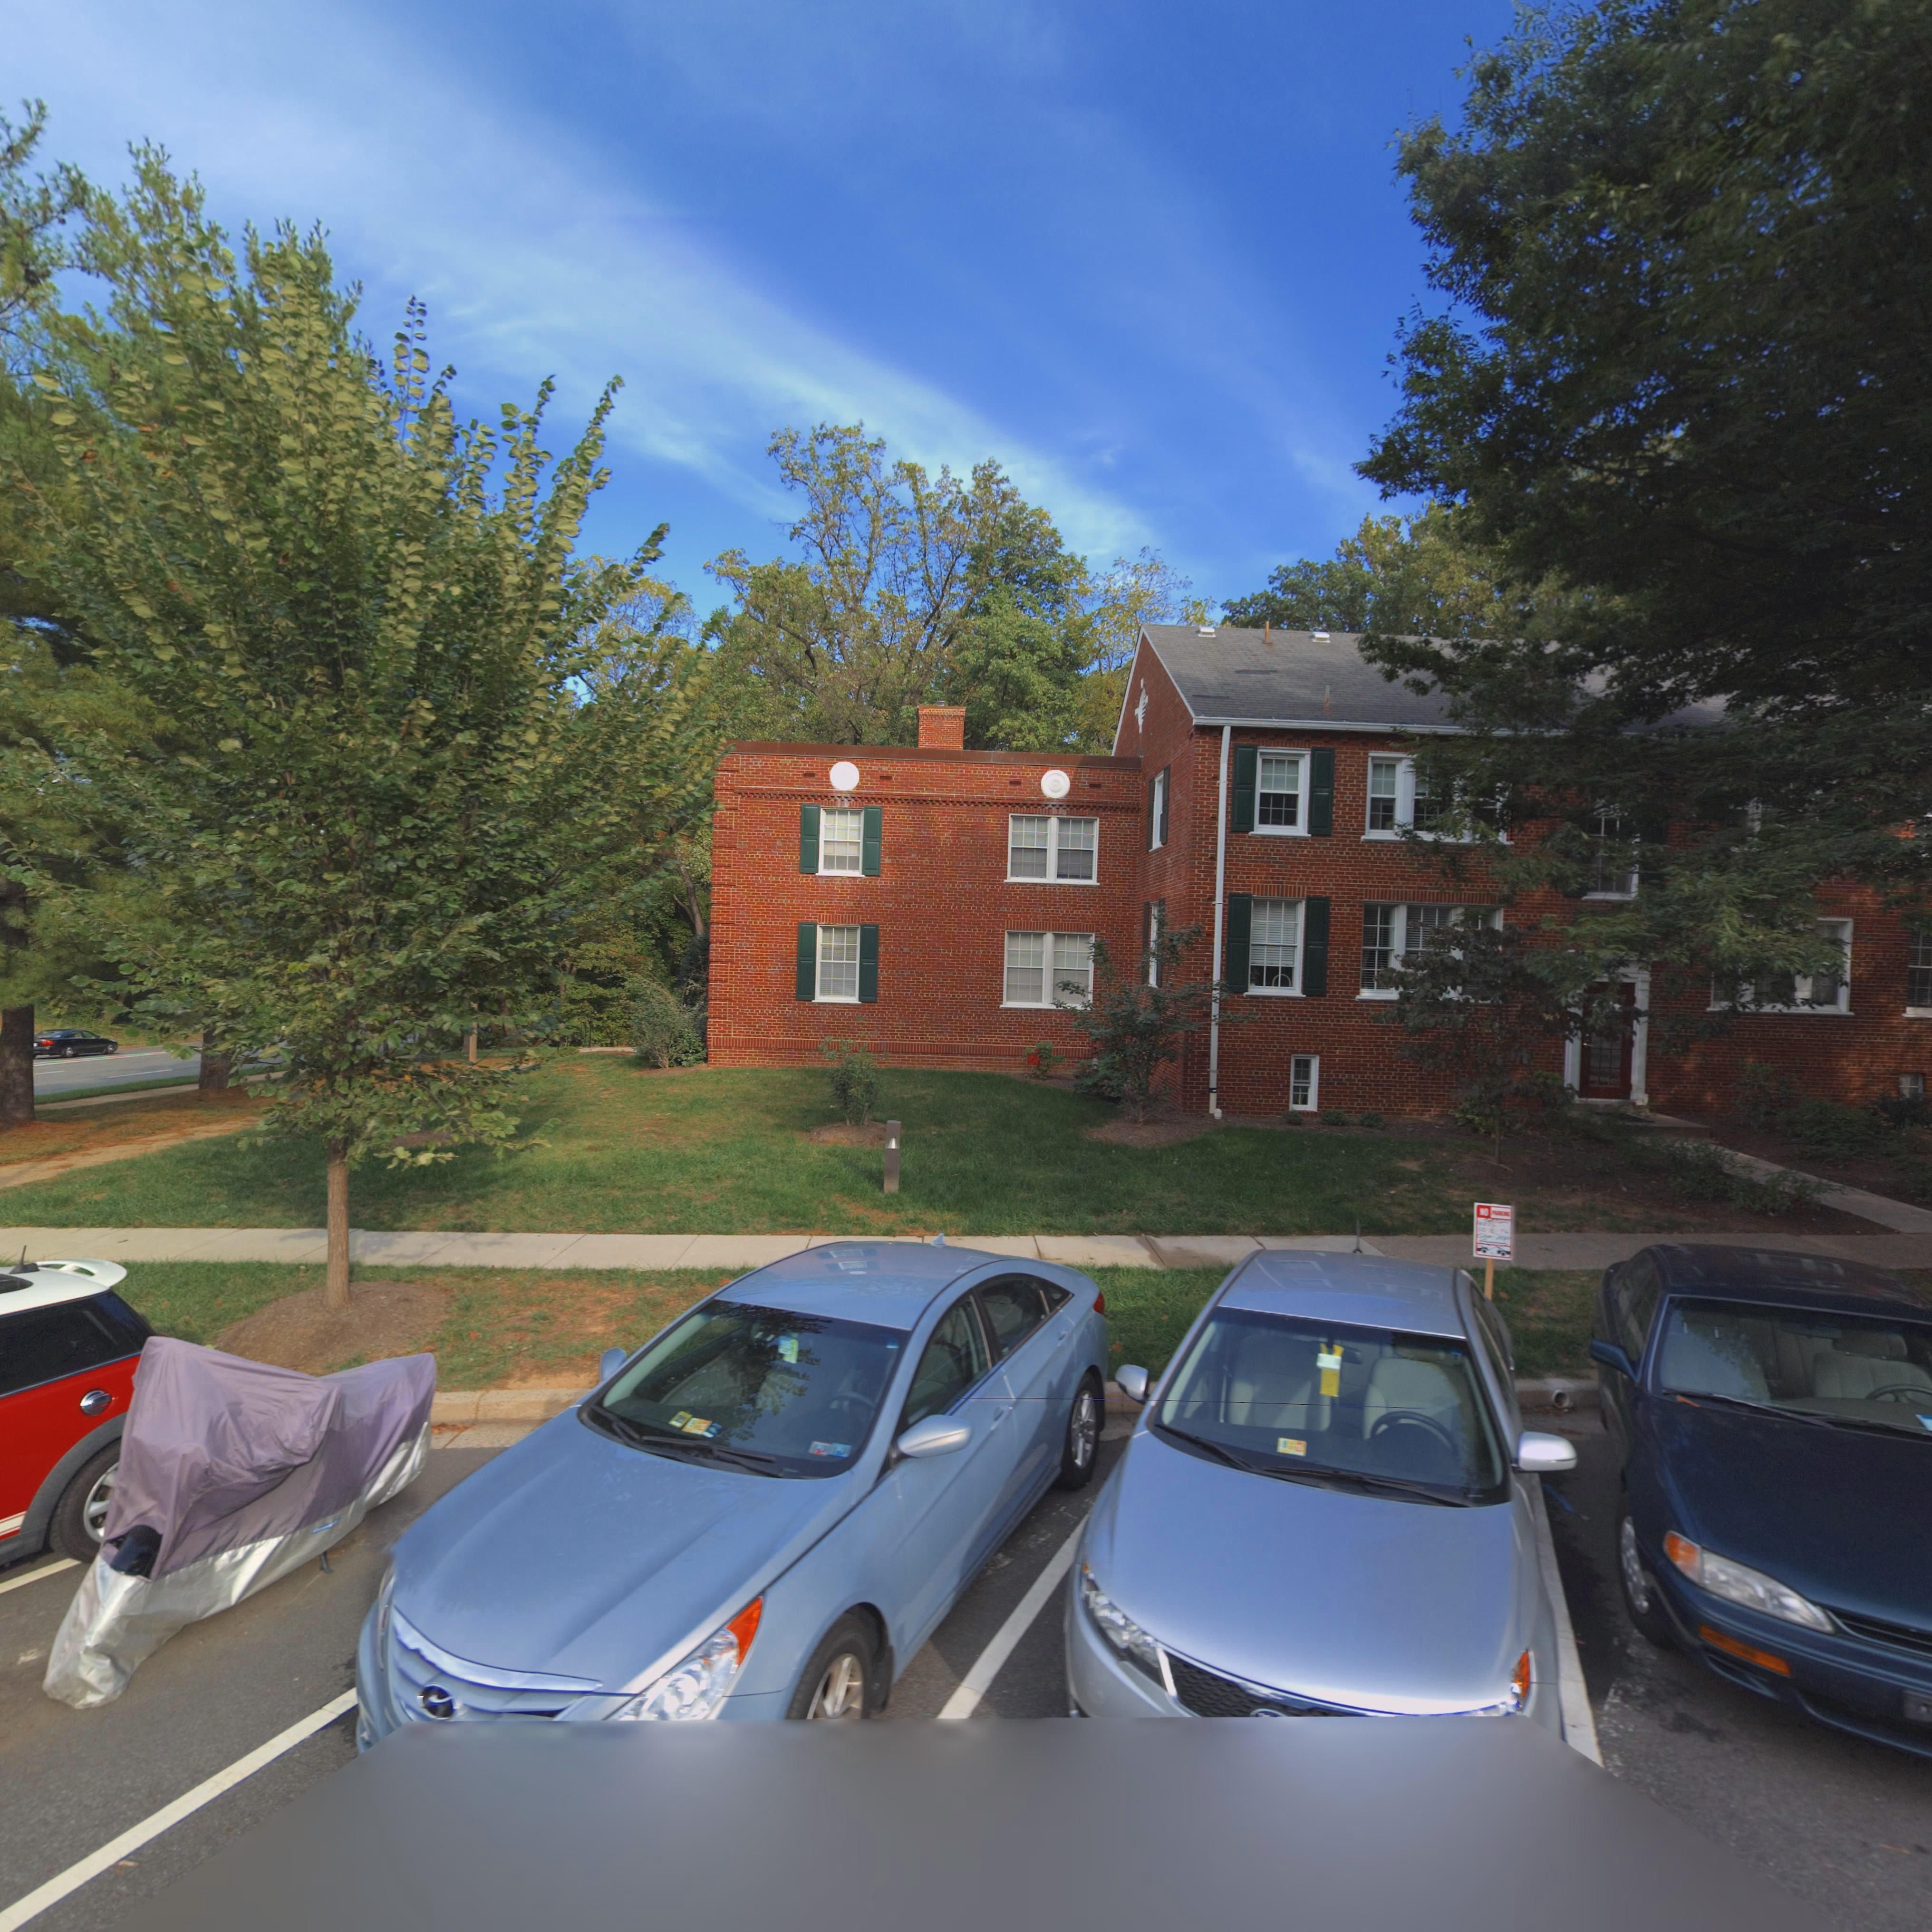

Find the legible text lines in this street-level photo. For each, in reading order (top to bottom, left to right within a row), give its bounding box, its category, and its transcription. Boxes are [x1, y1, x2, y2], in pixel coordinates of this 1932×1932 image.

[1483, 1207, 1490, 1217] None: O